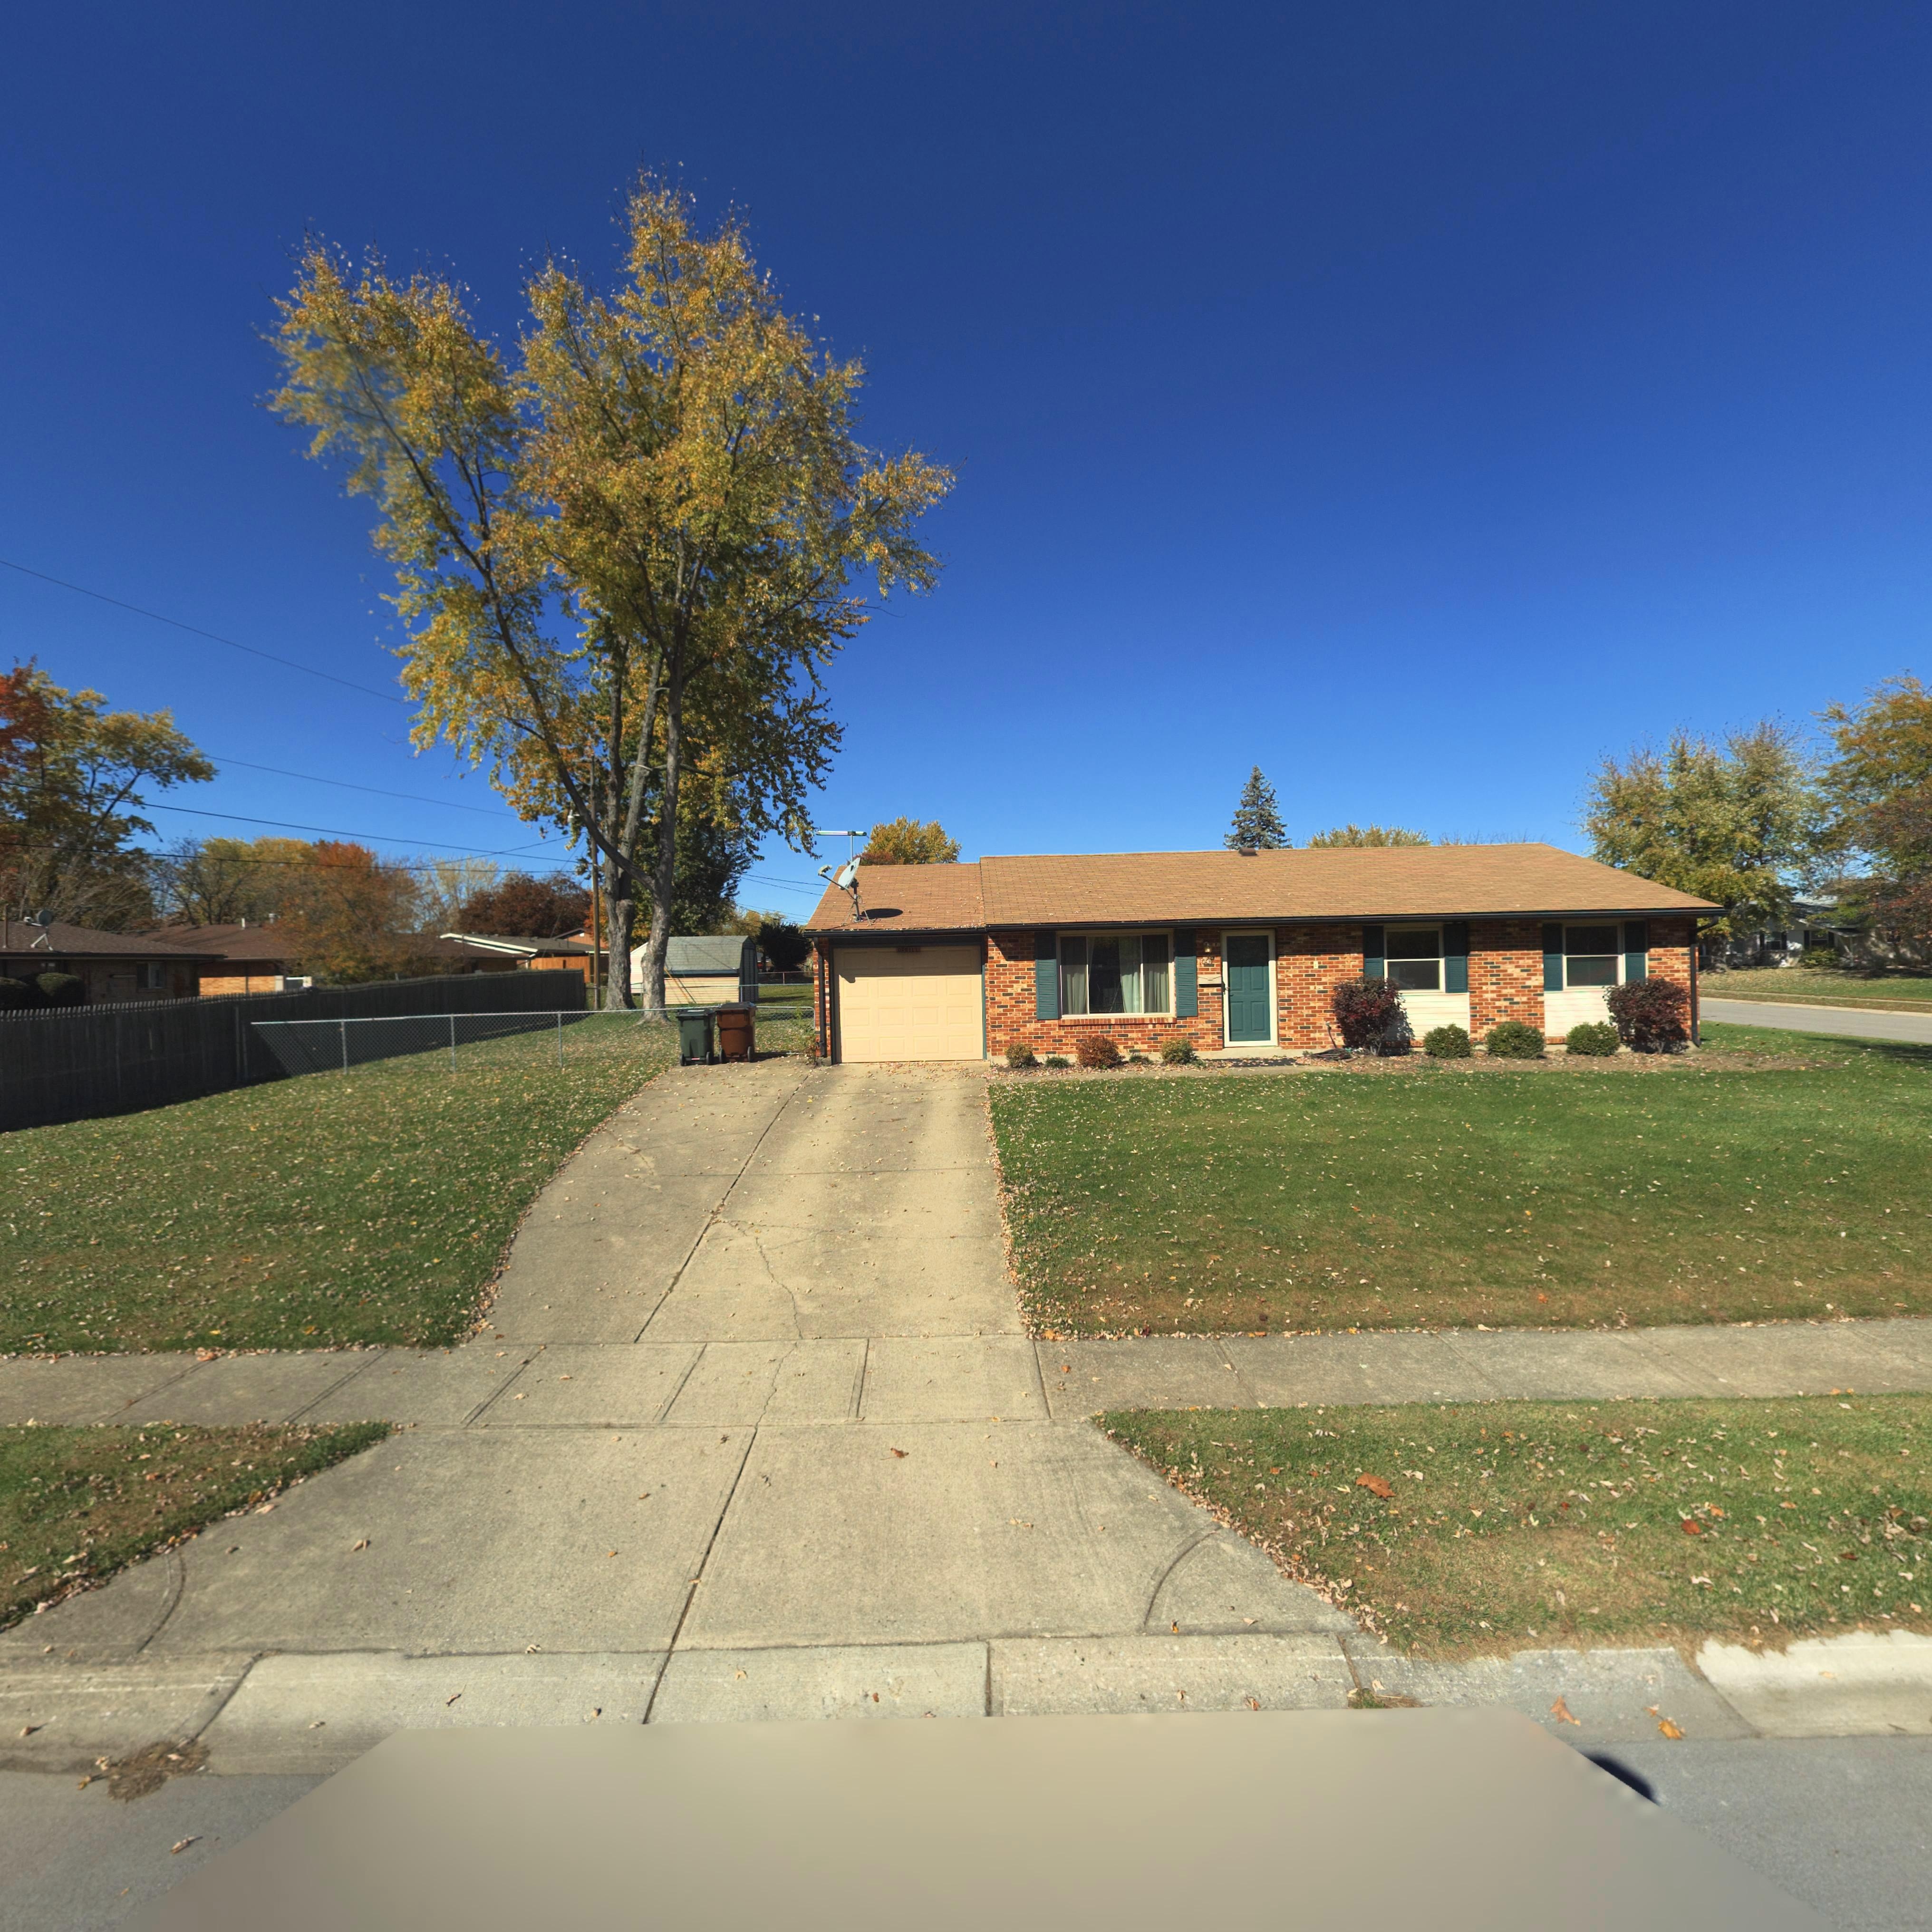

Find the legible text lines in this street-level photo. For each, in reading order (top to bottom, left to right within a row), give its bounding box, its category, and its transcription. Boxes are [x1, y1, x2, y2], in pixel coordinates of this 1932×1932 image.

[1198, 958, 1214, 965] StreetNumber: 1009